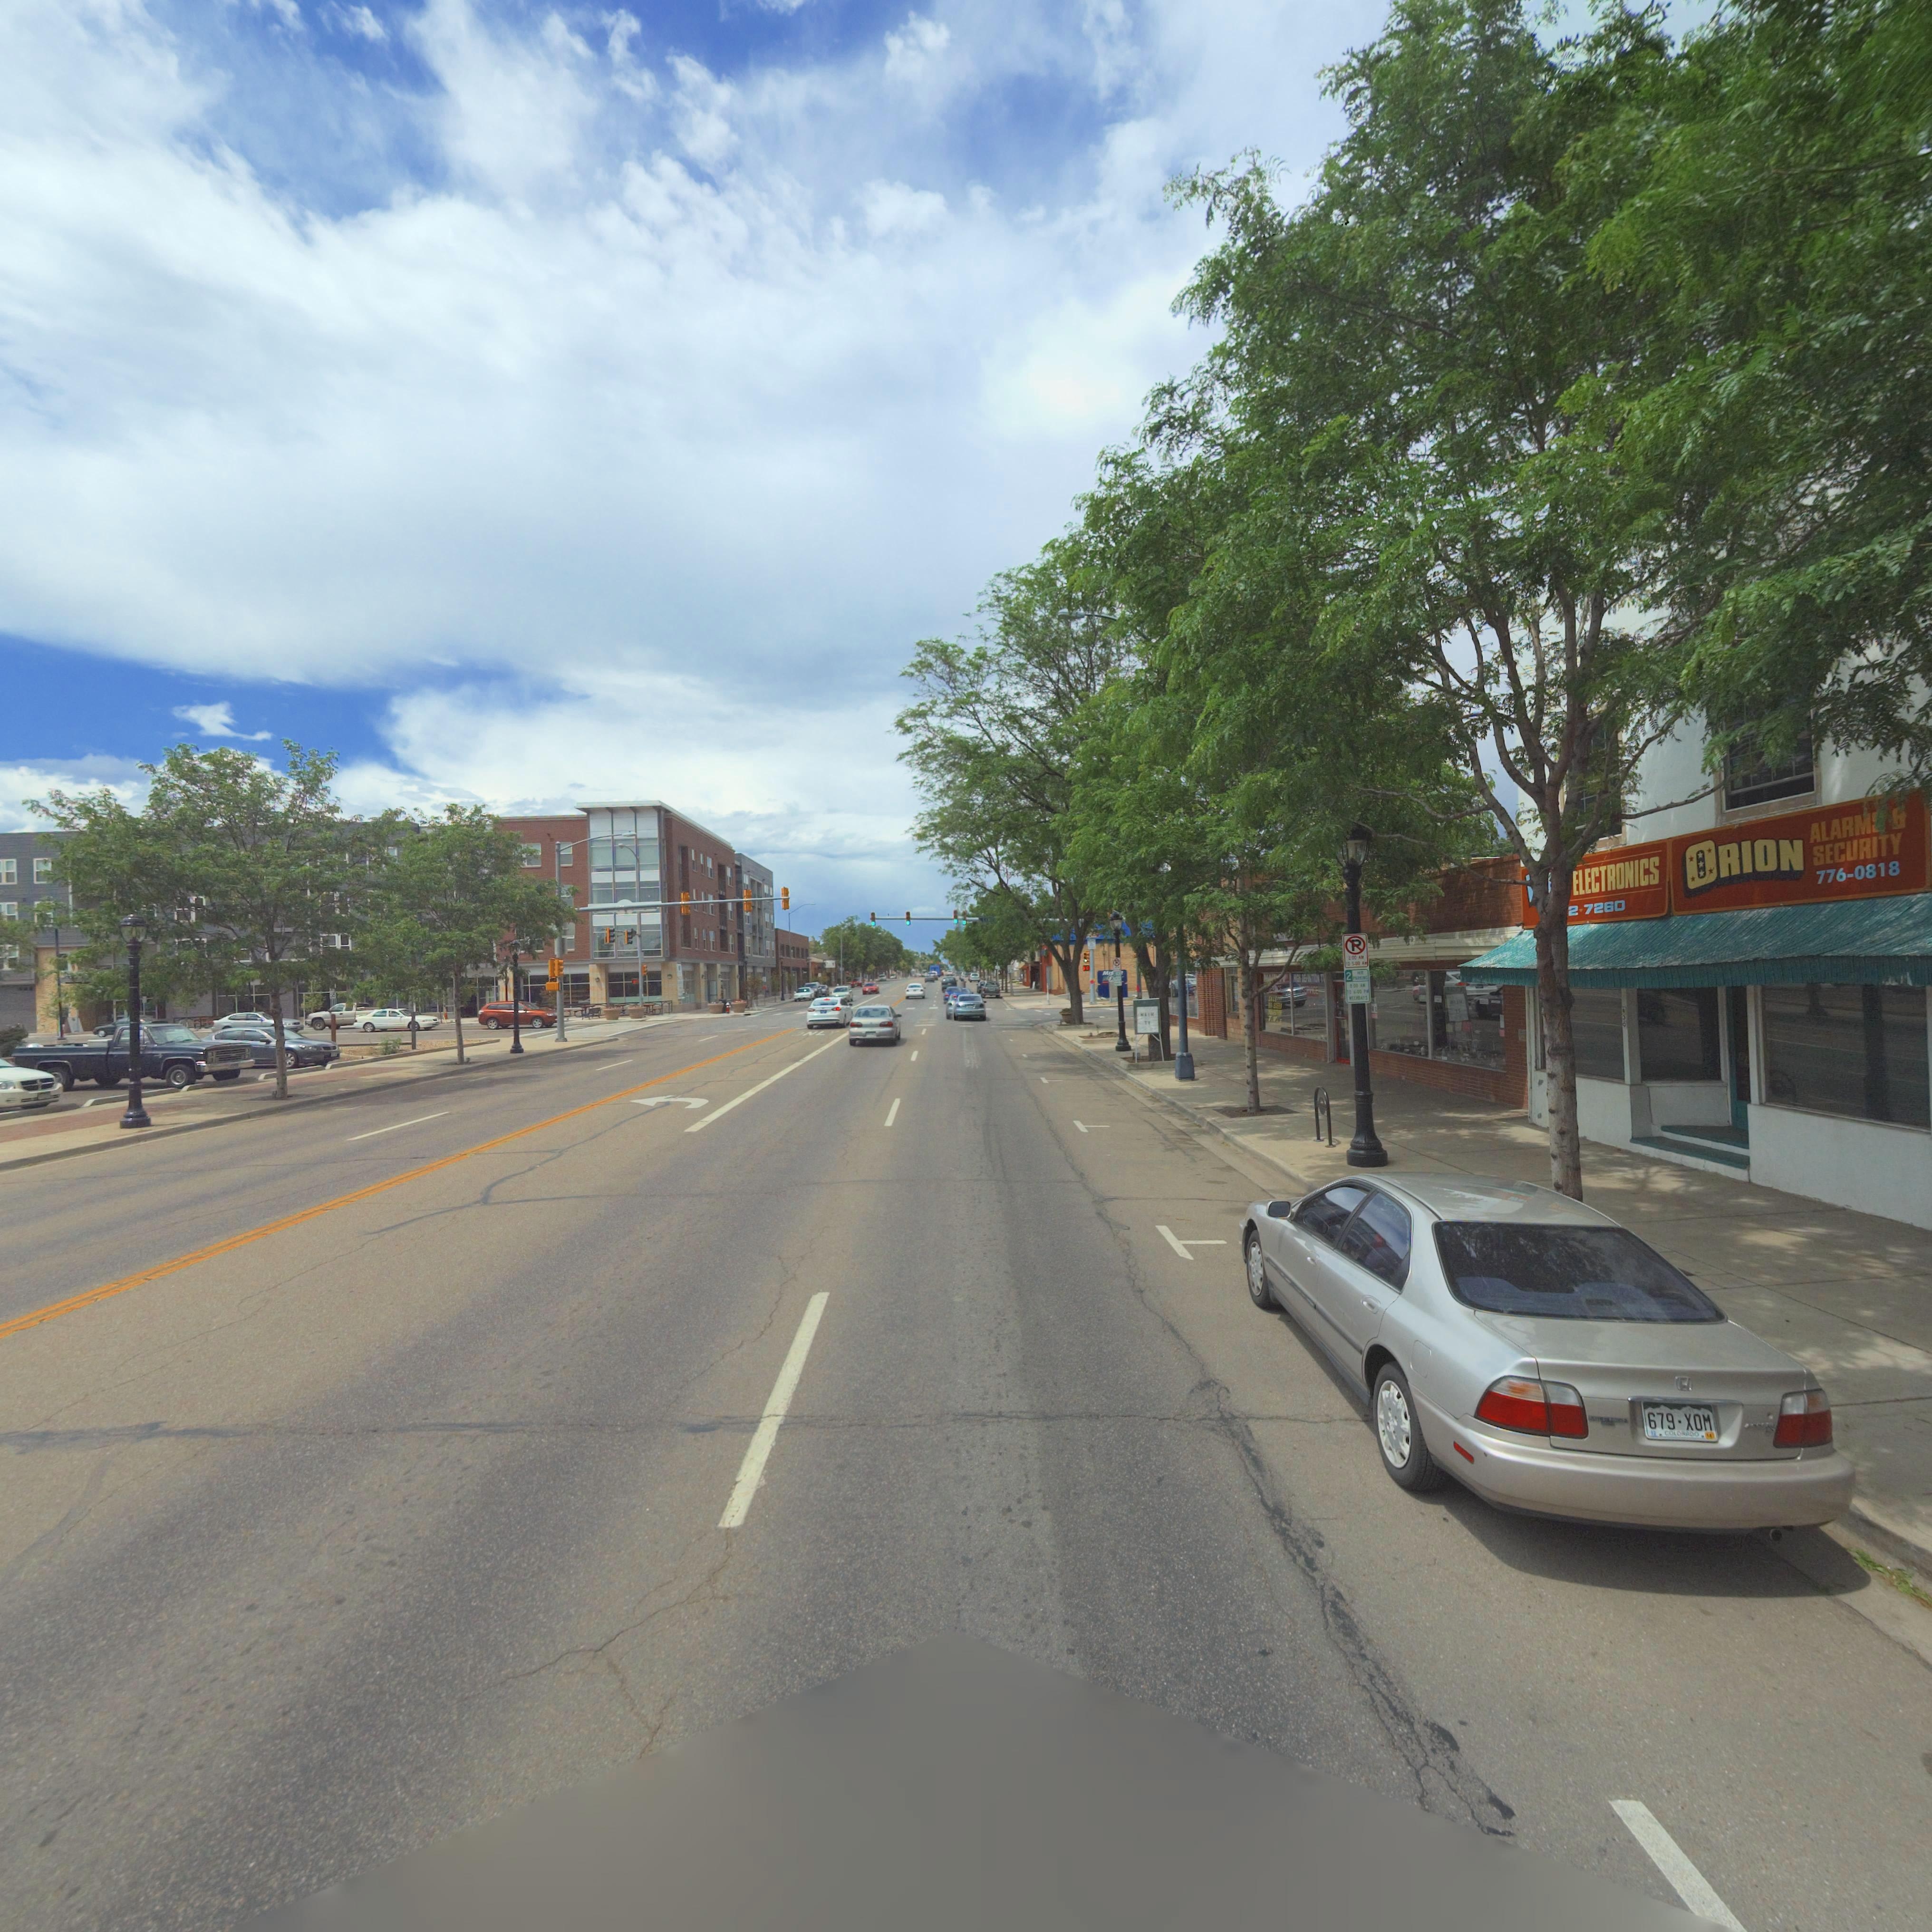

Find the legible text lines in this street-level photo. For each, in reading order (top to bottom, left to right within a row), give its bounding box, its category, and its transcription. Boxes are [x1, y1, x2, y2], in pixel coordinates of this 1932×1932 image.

[1572, 855, 1660, 896] BusinessName: ELECTRONICS
[1684, 838, 1805, 891] BusinessName: ORION
[1140, 1012, 1154, 1016] BusinessName: MAIN
[1144, 1020, 1151, 1025] StreetNumber: TV